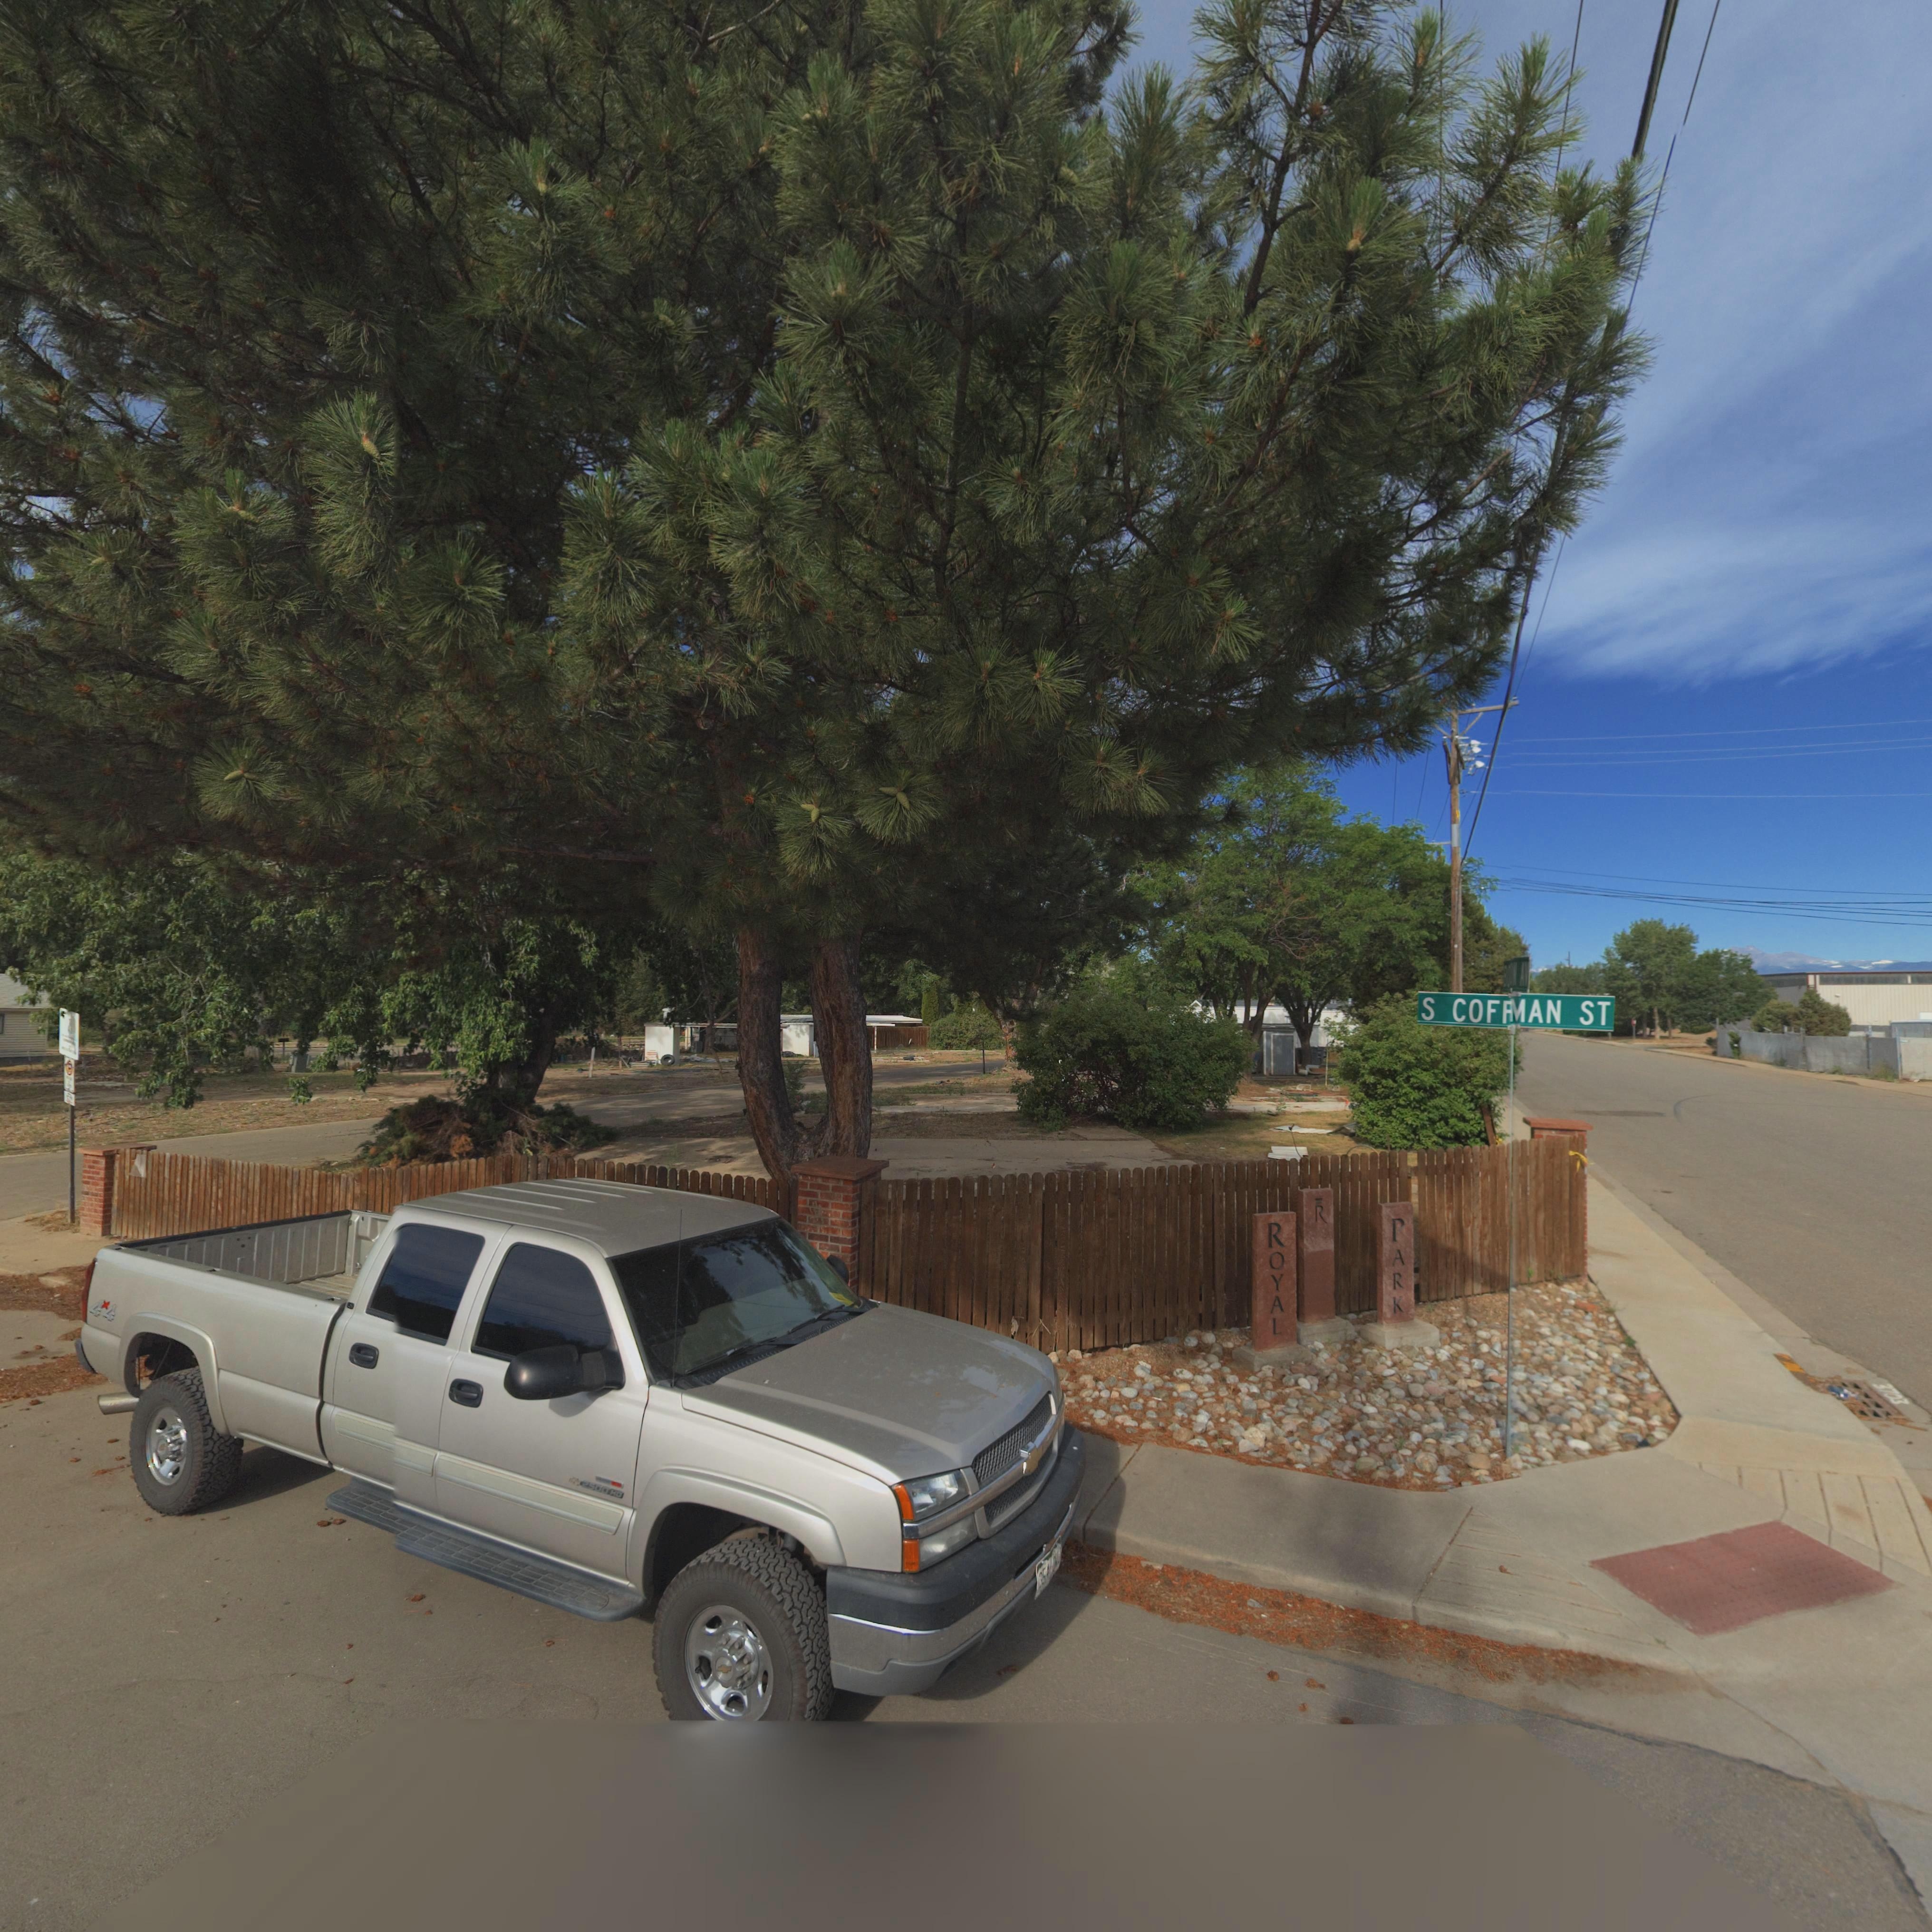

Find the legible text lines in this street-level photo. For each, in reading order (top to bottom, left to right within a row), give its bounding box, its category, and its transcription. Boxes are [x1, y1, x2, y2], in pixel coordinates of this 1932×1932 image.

[1503, 961, 1529, 988] StreetName: ****** AV
[1419, 995, 1613, 1028] StreetName: S CO*FMAN ST